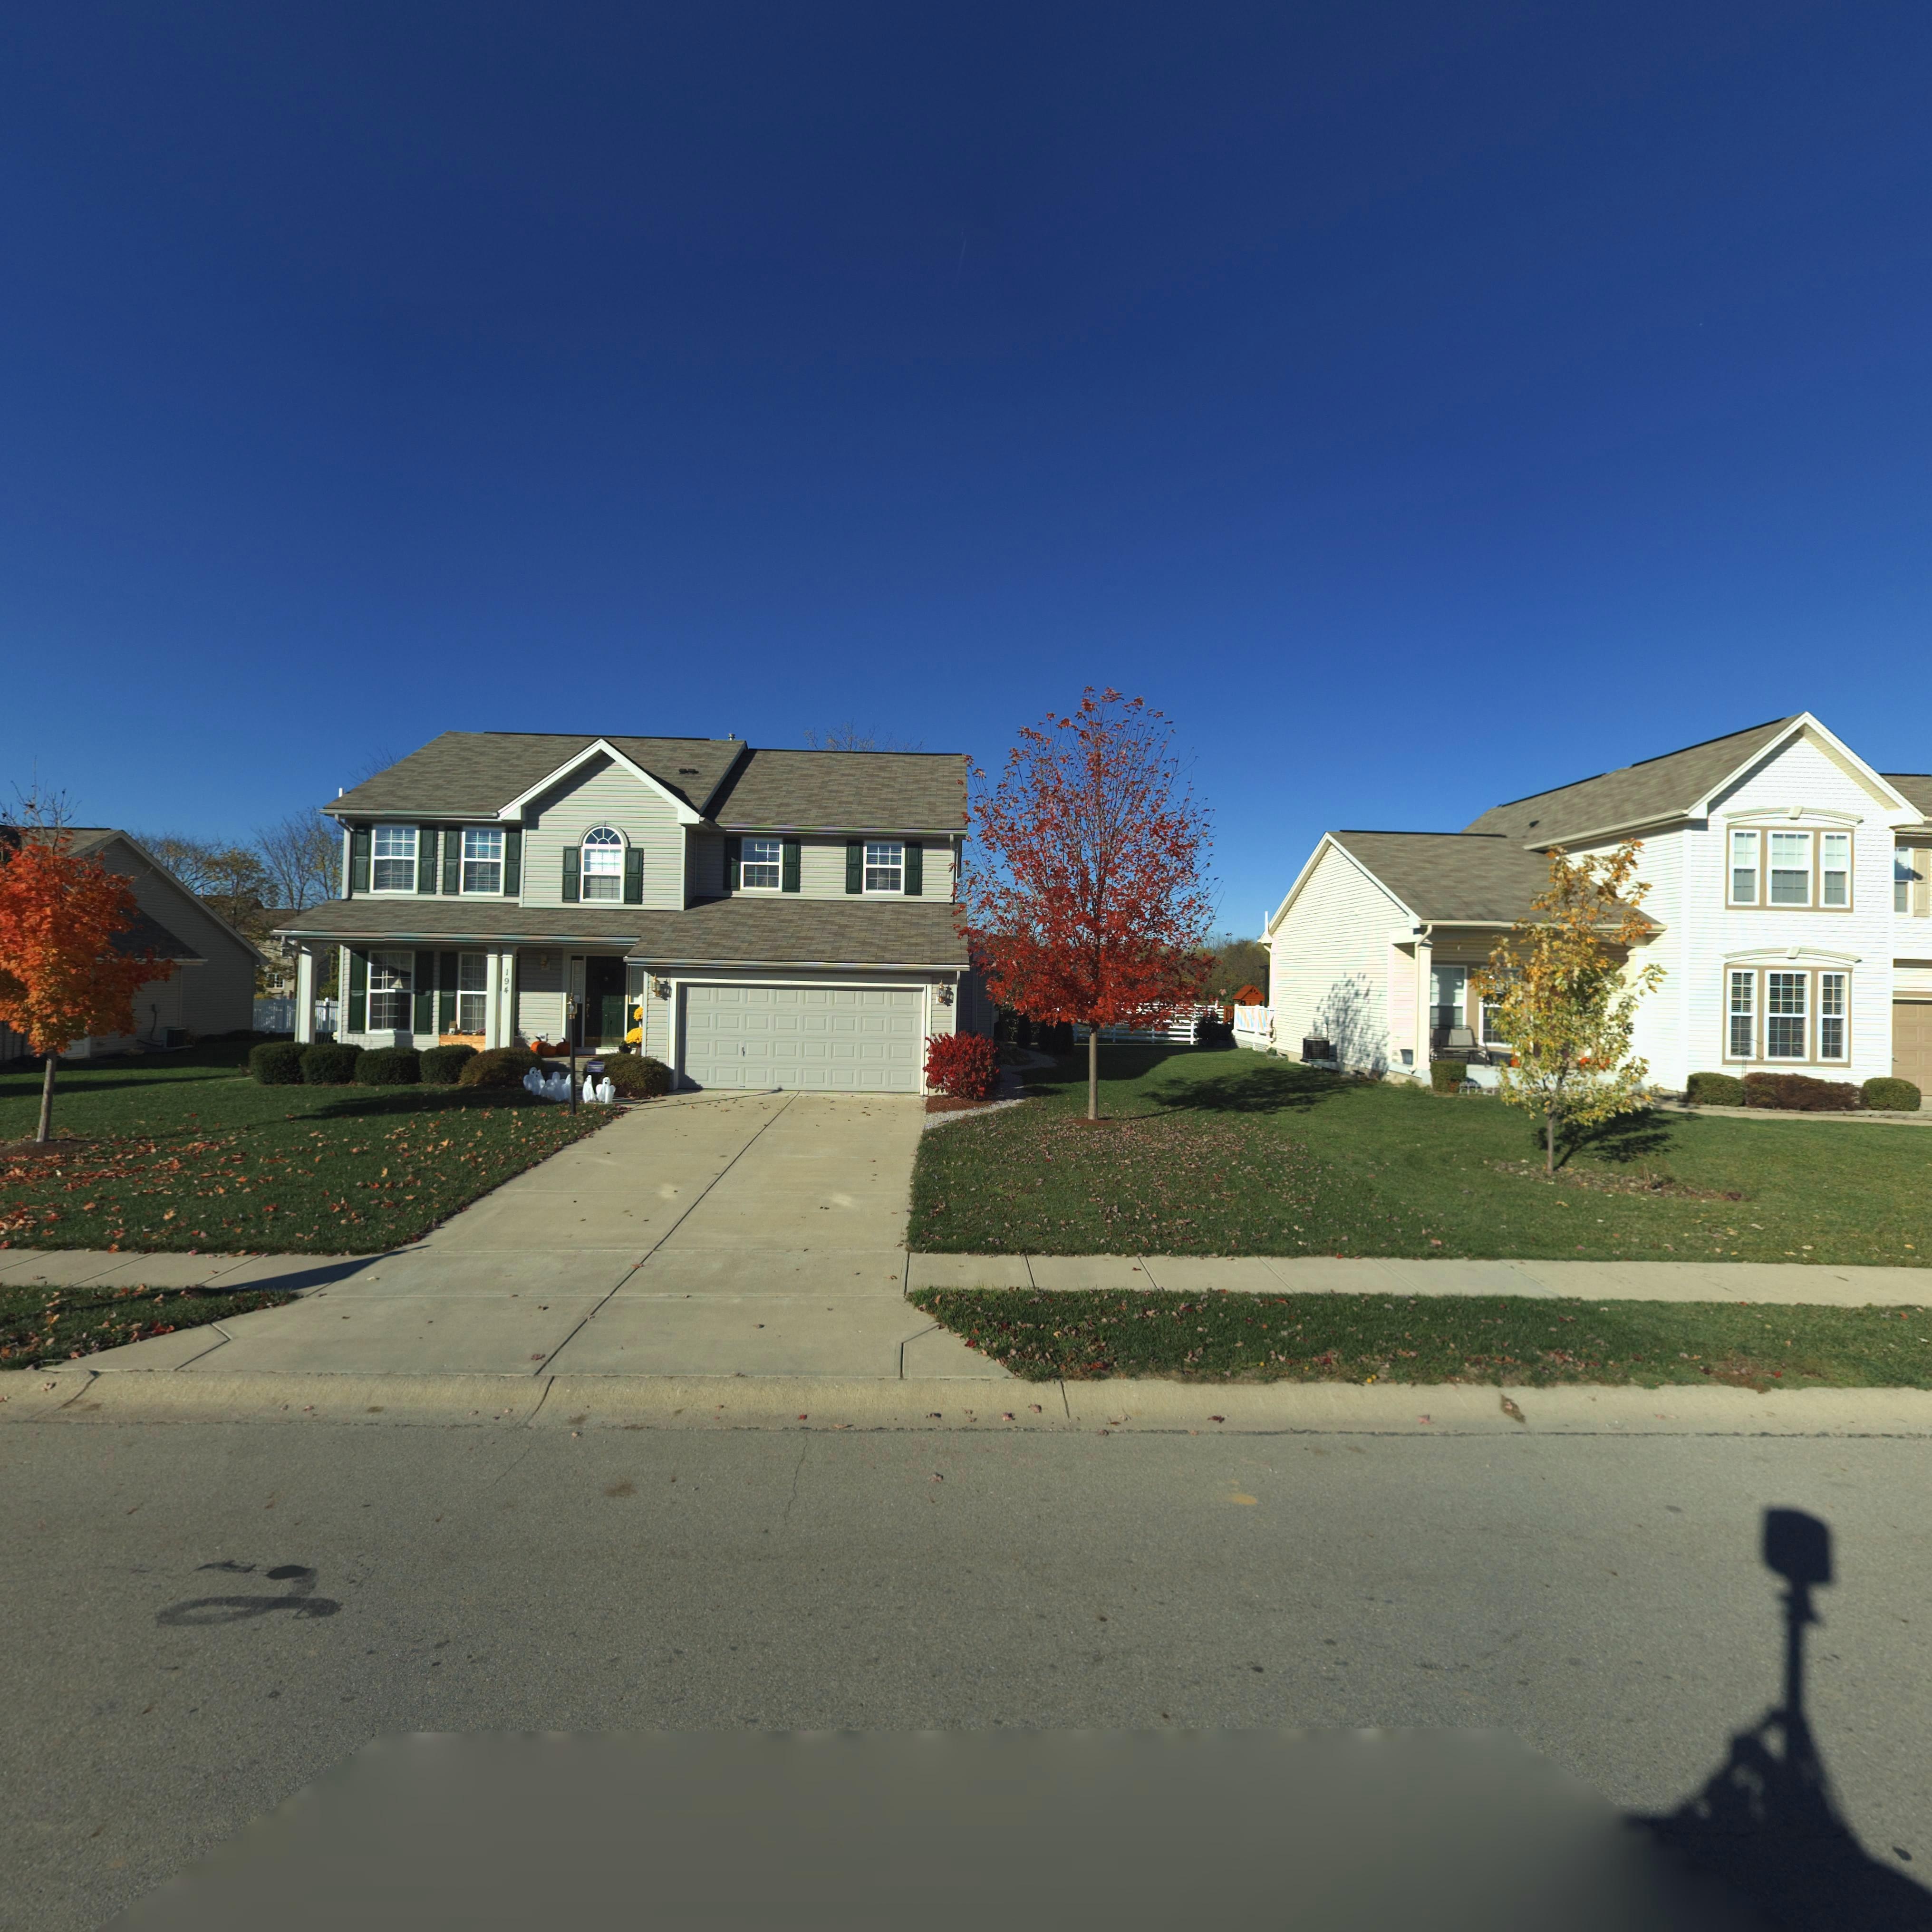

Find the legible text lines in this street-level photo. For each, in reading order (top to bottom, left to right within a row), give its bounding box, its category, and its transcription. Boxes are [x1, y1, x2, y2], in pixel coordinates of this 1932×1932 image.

[502, 967, 510, 995] StreetNumber: 194